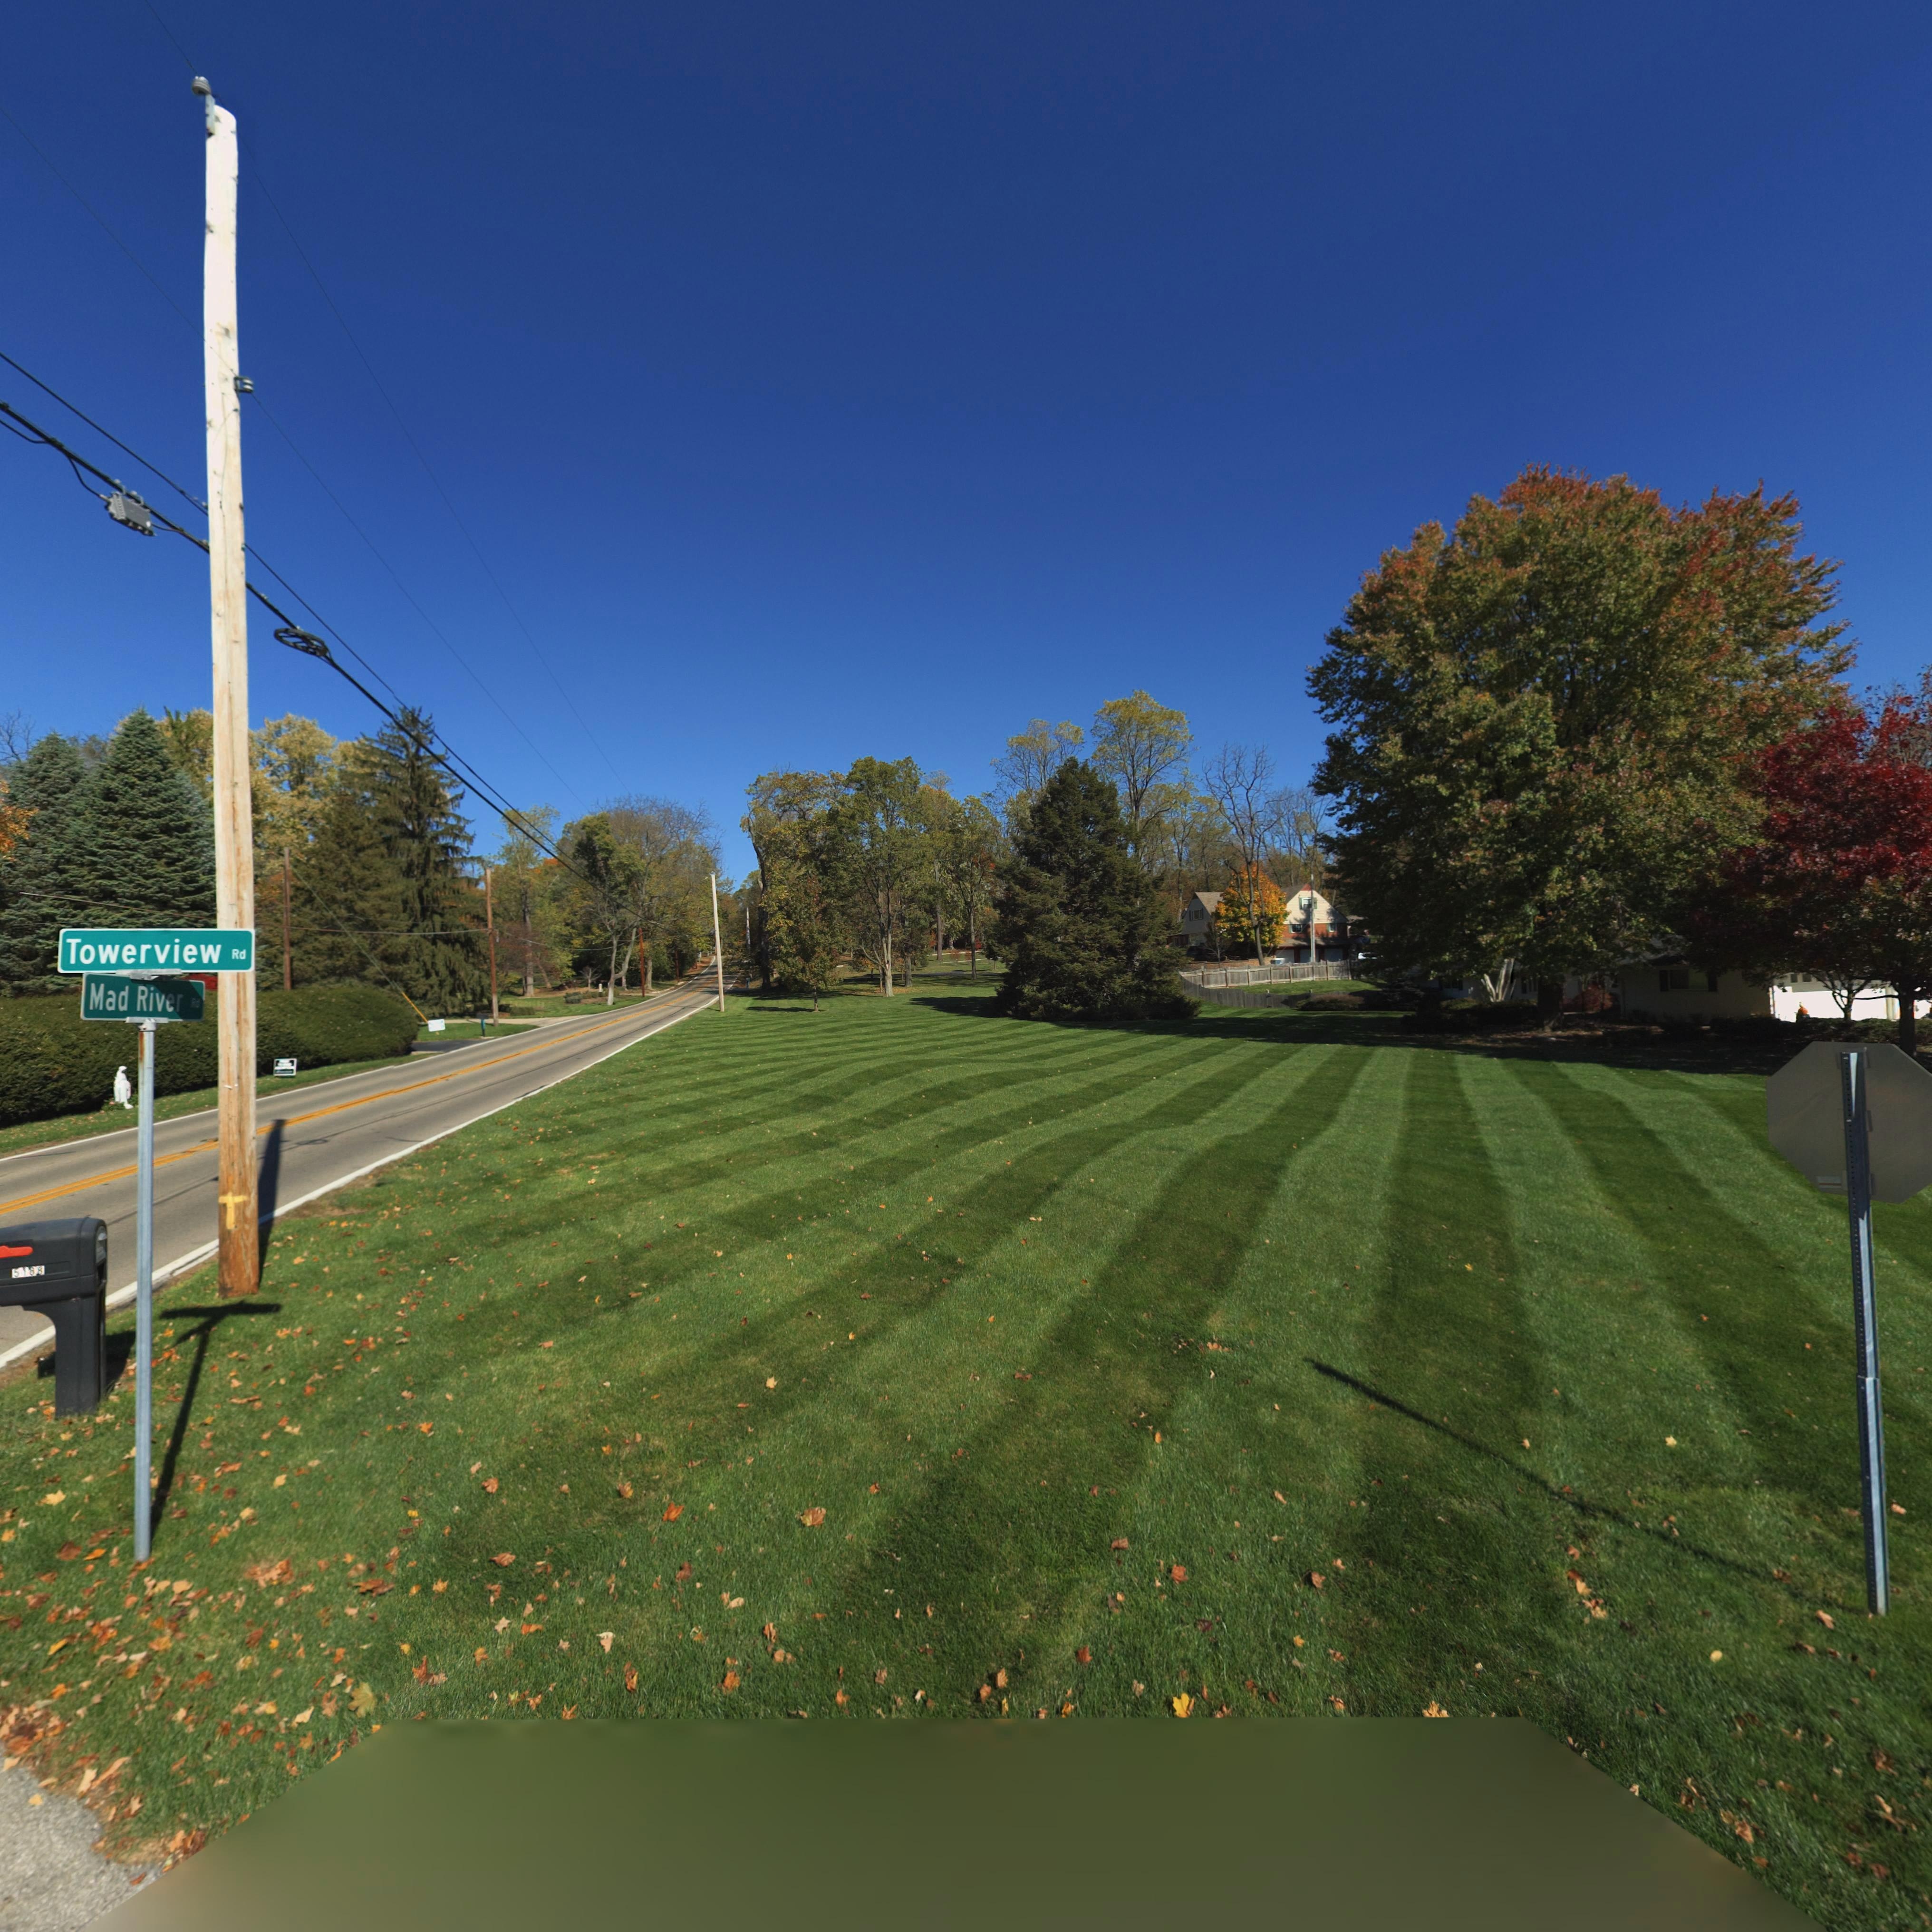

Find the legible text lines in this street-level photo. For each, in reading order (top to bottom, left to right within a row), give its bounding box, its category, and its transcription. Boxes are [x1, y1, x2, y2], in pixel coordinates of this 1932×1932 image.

[13, 1265, 44, 1279] StreetNumber: 5*88